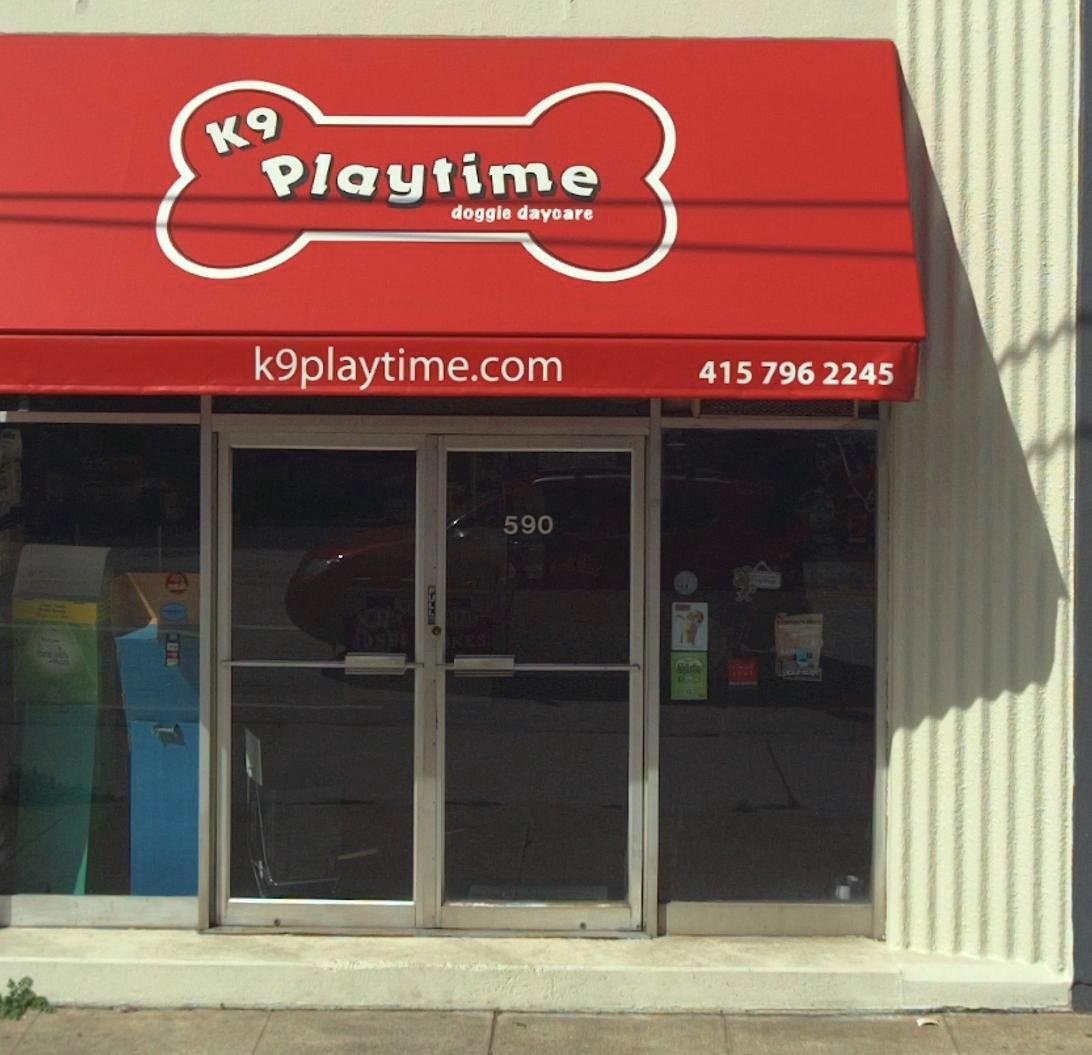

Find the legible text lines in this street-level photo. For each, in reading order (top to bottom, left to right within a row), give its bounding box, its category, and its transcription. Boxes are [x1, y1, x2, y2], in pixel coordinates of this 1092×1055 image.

[199, 99, 289, 164] BusinessName: K9
[245, 142, 606, 210] BusinessName: Playtime
[446, 198, 597, 230] BusinessName: doggie daycare
[244, 337, 568, 399] None: k9playtime.com
[693, 353, 900, 392] None: 4157962245
[500, 512, 556, 538] StreetNumber: 590
[427, 584, 436, 620] None: PULL